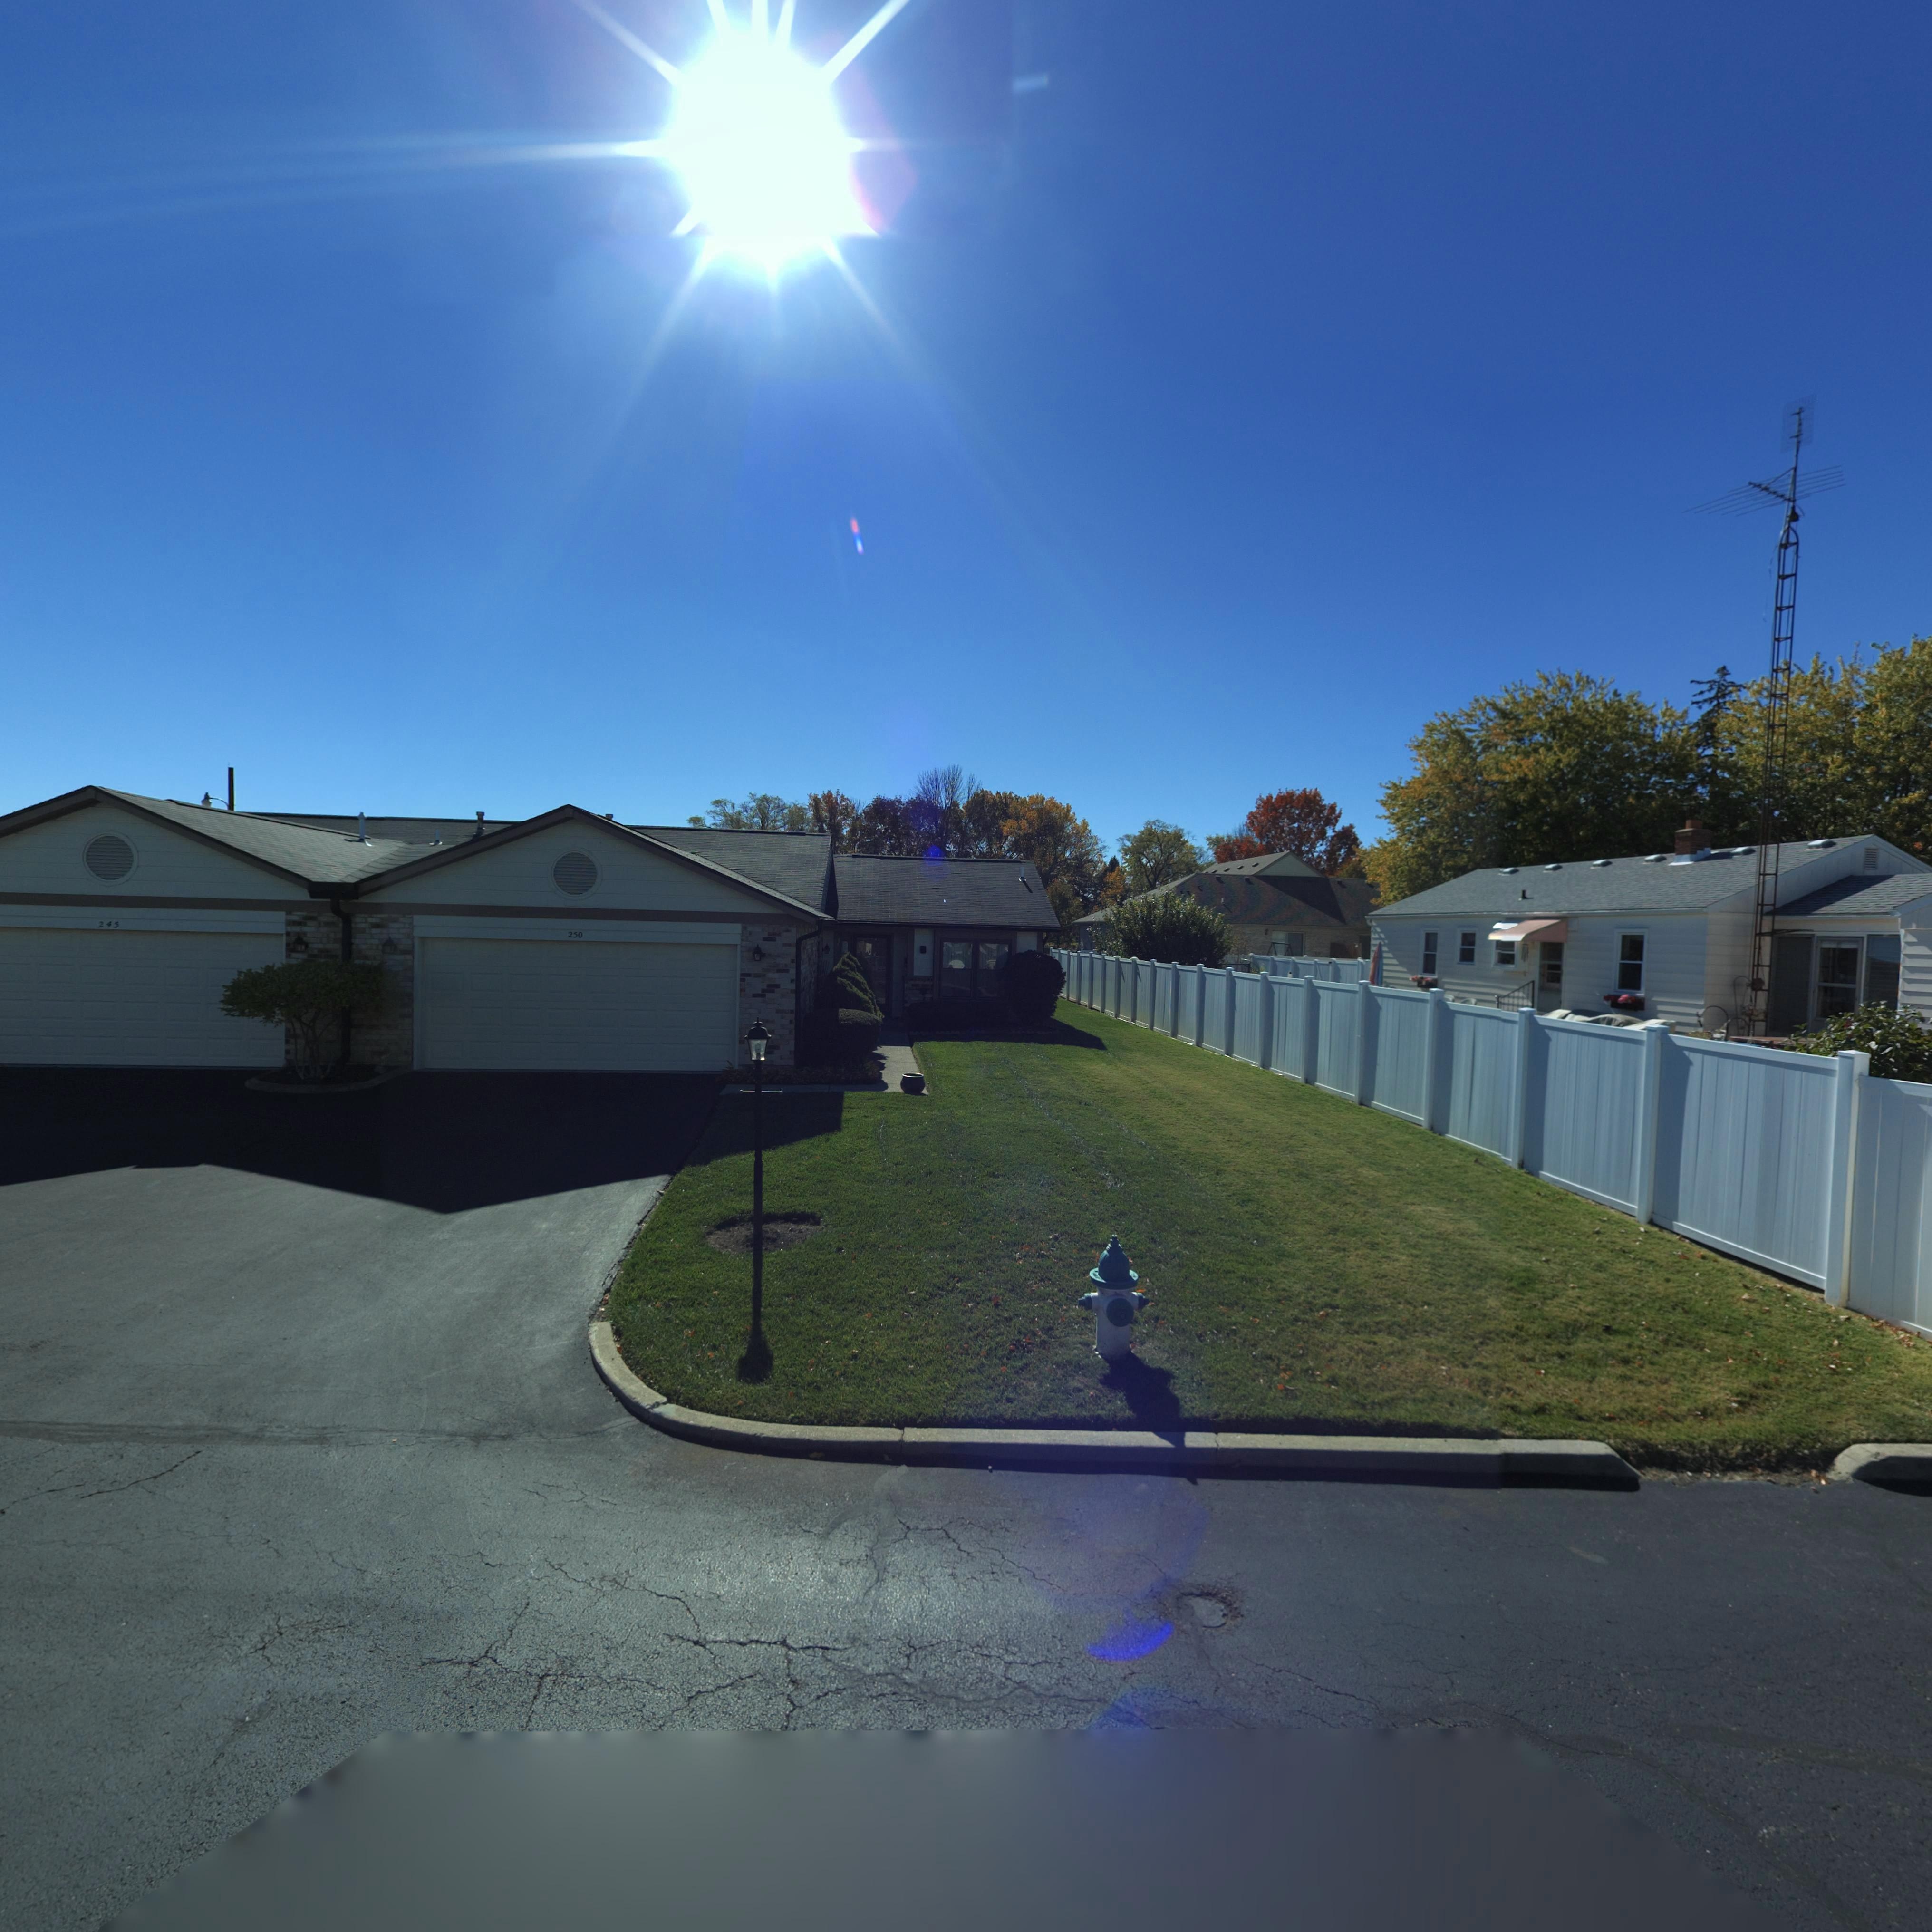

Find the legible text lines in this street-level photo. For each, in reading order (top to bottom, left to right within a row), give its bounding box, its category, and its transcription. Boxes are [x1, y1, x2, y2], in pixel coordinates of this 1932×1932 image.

[97, 919, 120, 929] StreetNumber: 245
[566, 929, 584, 939] StreetNumber: 250